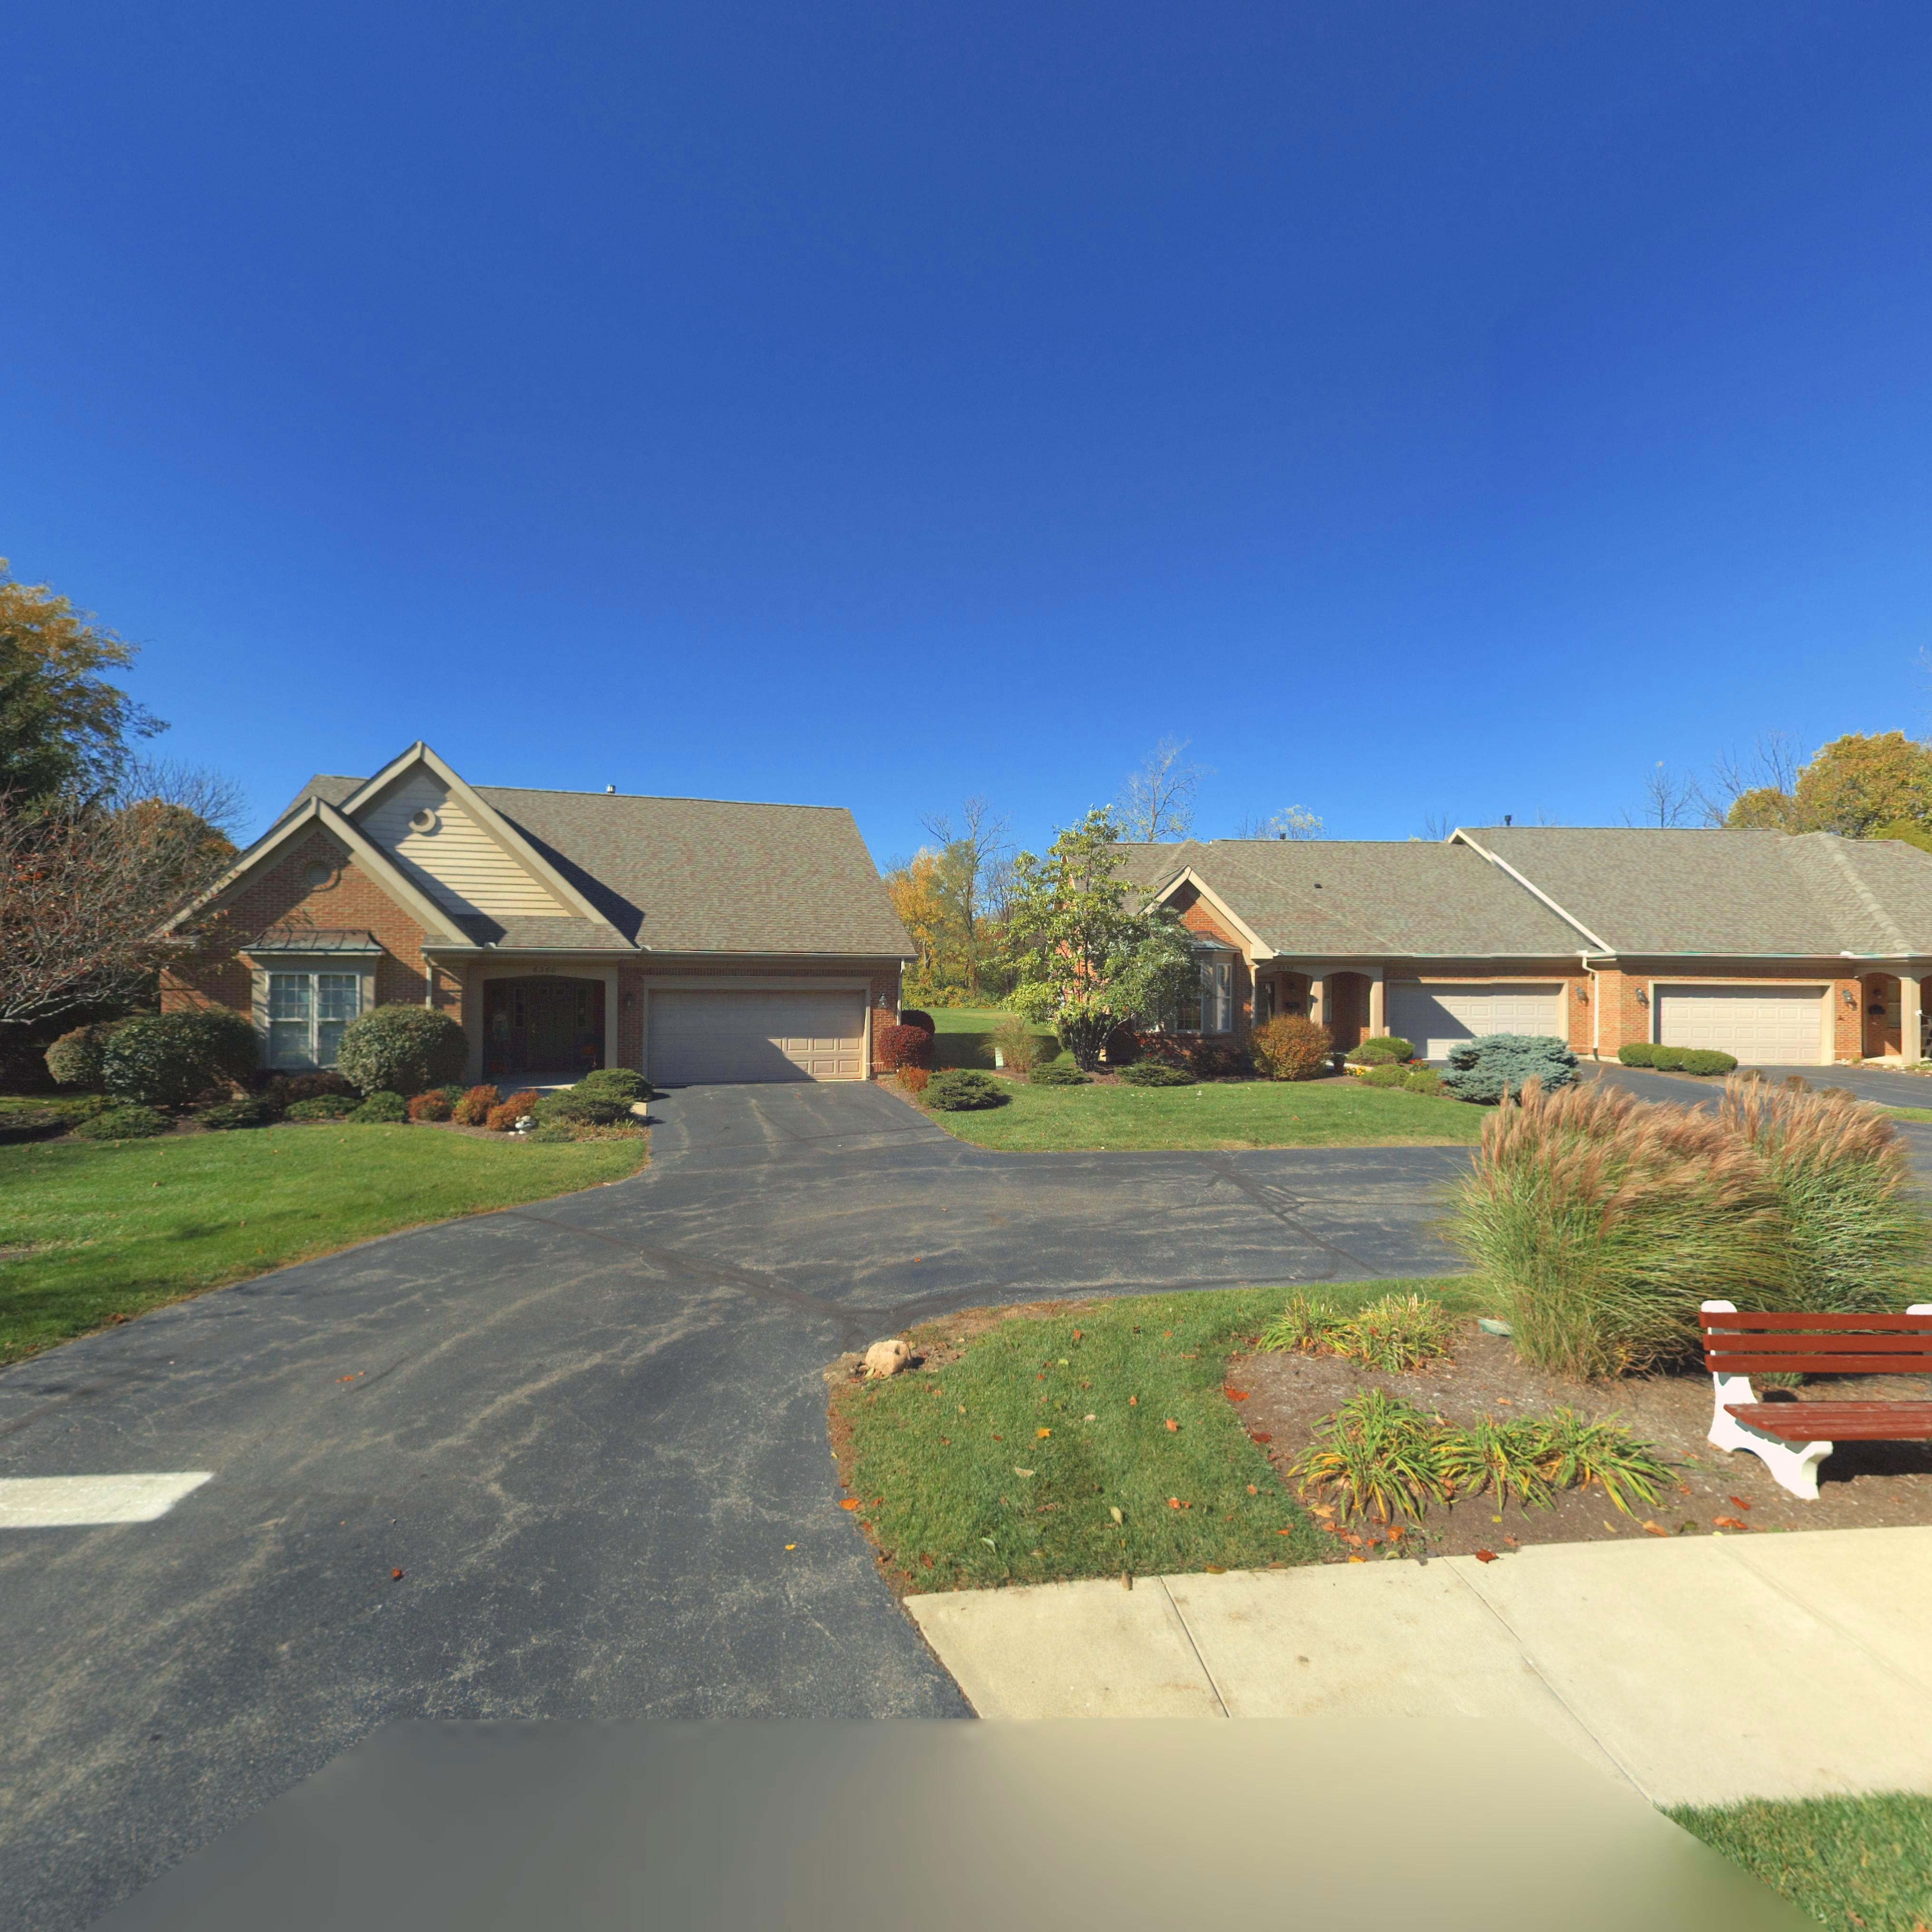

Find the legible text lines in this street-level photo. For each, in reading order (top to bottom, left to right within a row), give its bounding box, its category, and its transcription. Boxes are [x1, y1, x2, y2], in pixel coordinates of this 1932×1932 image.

[531, 966, 557, 974] StreetNumber: 6*60
[1276, 965, 1294, 971] StreetNumber: 6356